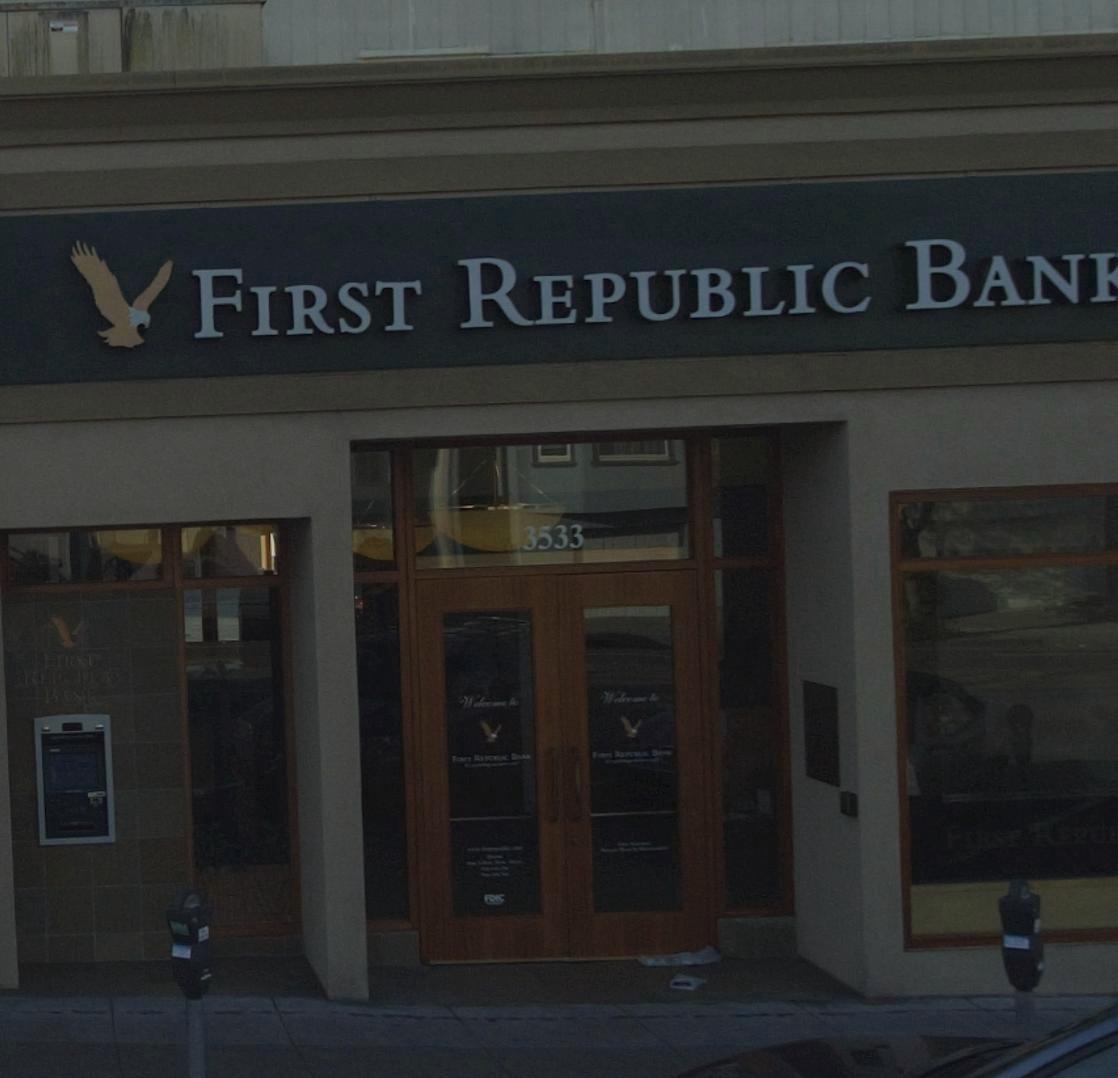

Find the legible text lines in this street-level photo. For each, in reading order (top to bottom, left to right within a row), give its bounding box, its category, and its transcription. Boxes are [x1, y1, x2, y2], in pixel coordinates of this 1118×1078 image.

[184, 227, 1092, 350] BusinessName: FIRST REPUBLIC BAN
[518, 521, 587, 554] StreetNumber: 3533